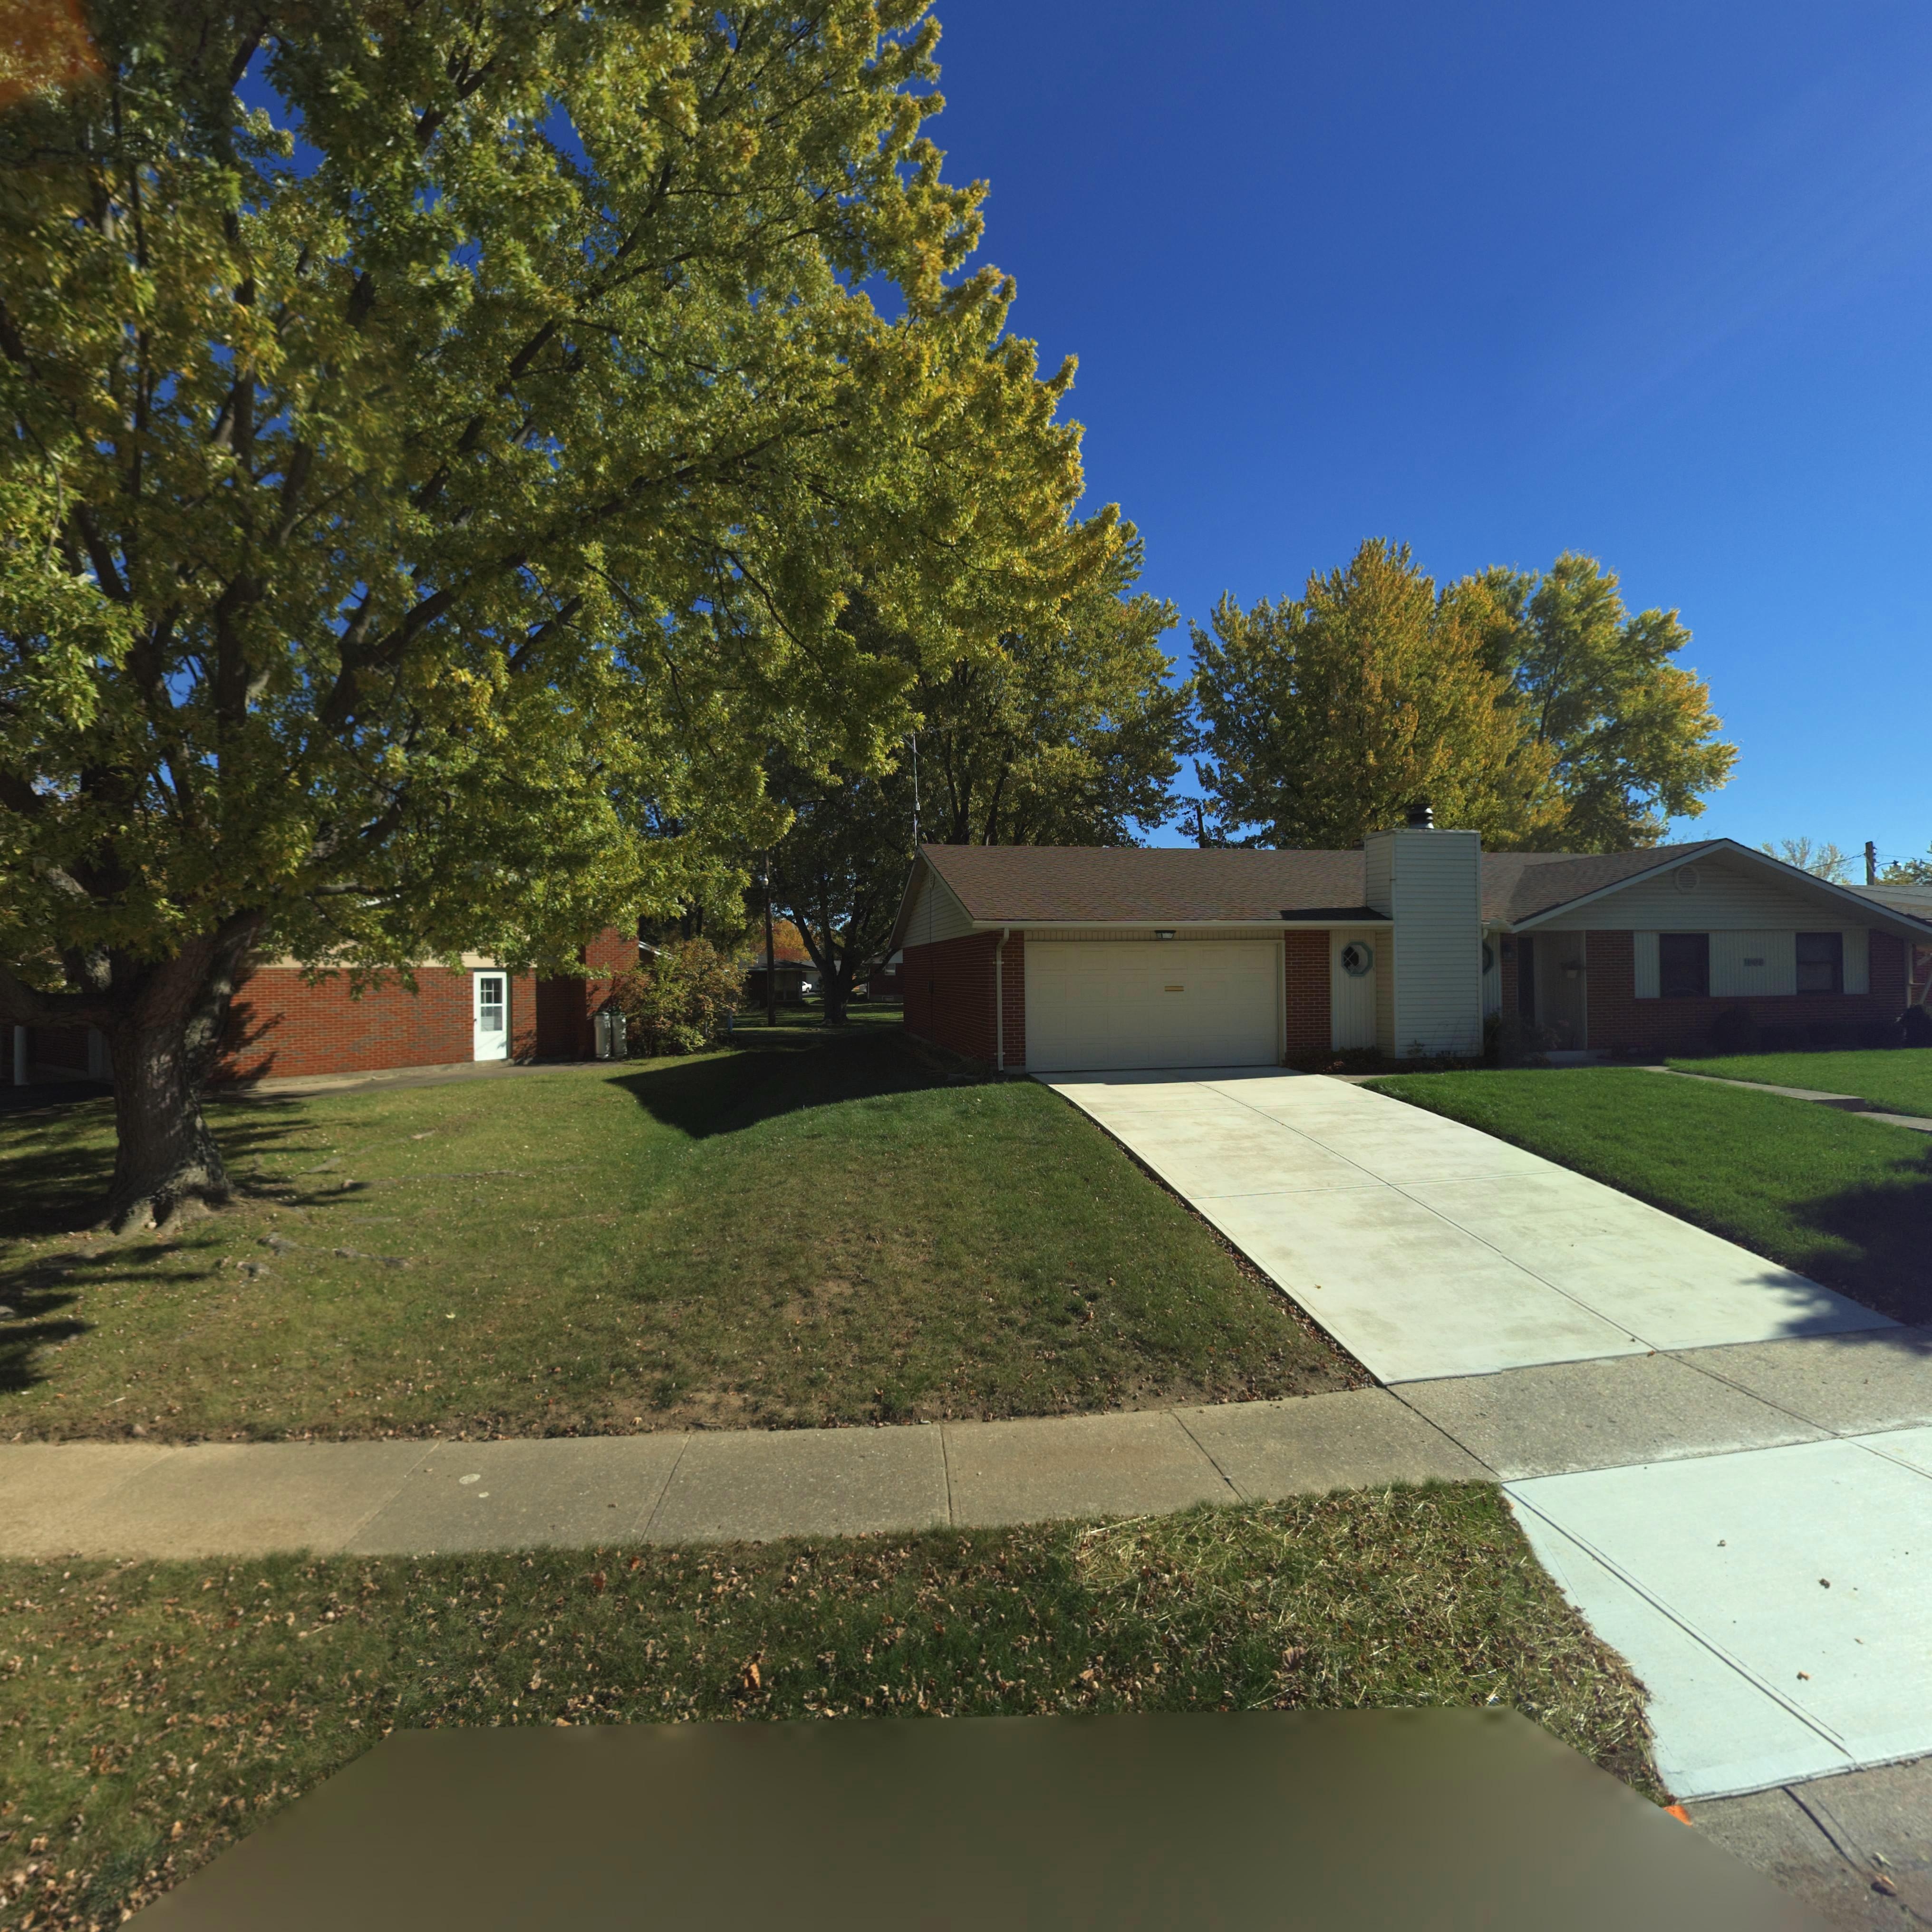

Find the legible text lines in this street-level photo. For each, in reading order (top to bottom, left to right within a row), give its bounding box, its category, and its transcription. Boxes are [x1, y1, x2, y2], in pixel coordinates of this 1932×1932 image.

[1743, 957, 1764, 966] StreetNumber: 1008